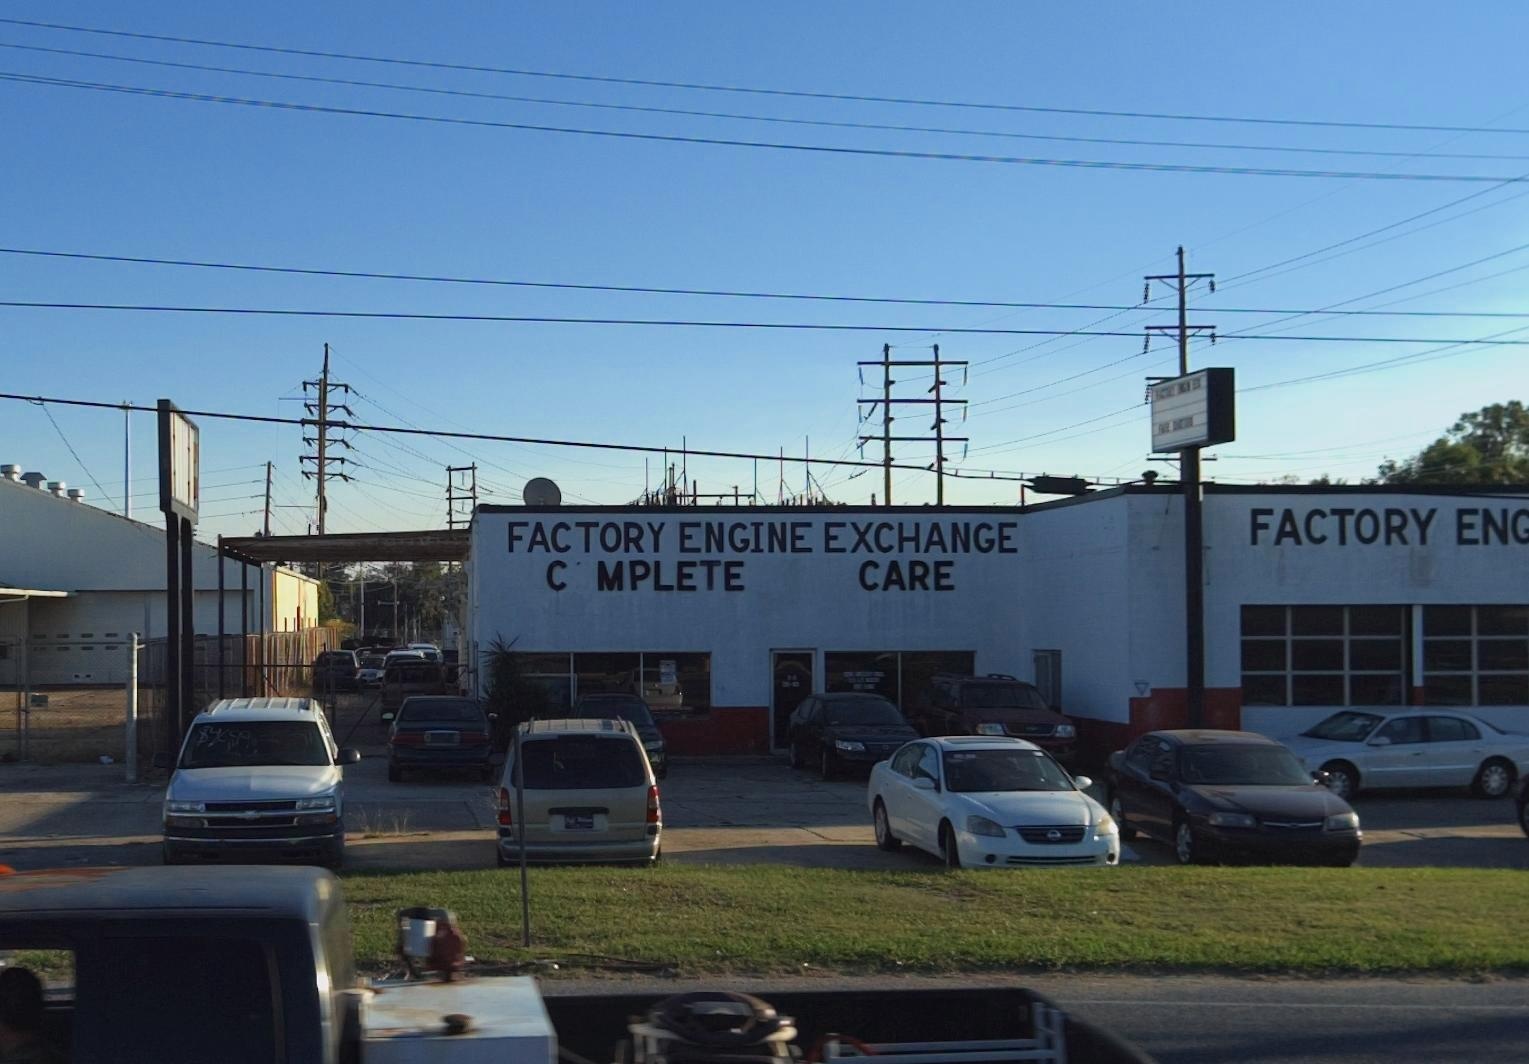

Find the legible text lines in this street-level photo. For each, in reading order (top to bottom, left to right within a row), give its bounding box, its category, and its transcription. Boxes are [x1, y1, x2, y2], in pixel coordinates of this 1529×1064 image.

[508, 521, 1018, 554] BusinessName: FACTORY ENGINE EXCHANGE
[1248, 507, 1509, 547] BusinessName: FACTORY EN
[545, 560, 955, 592] BusinessName: C MPLETE CARE